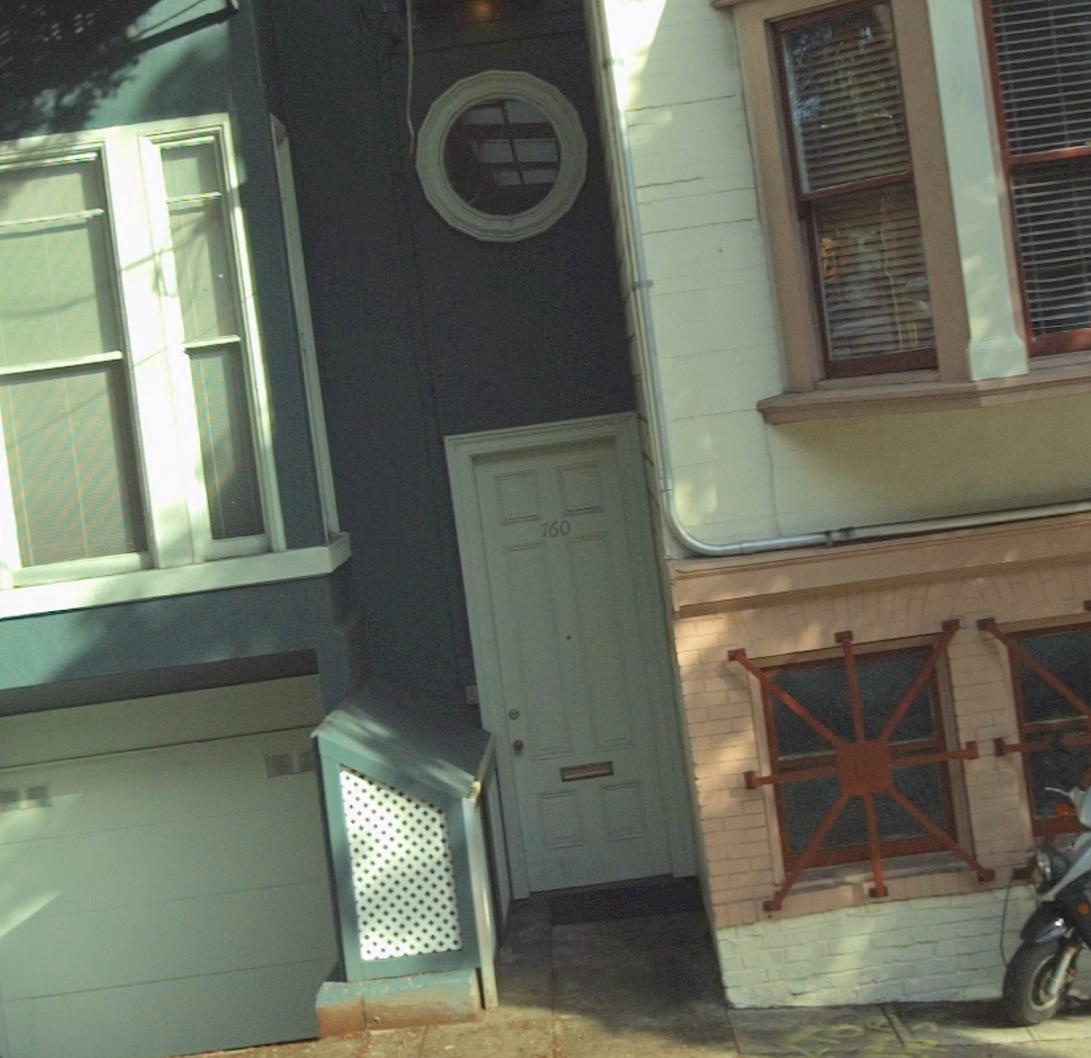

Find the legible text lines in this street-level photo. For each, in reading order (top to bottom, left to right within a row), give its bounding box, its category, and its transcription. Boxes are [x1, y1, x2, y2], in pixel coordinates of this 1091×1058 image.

[538, 516, 575, 541] StreetNumber: 760